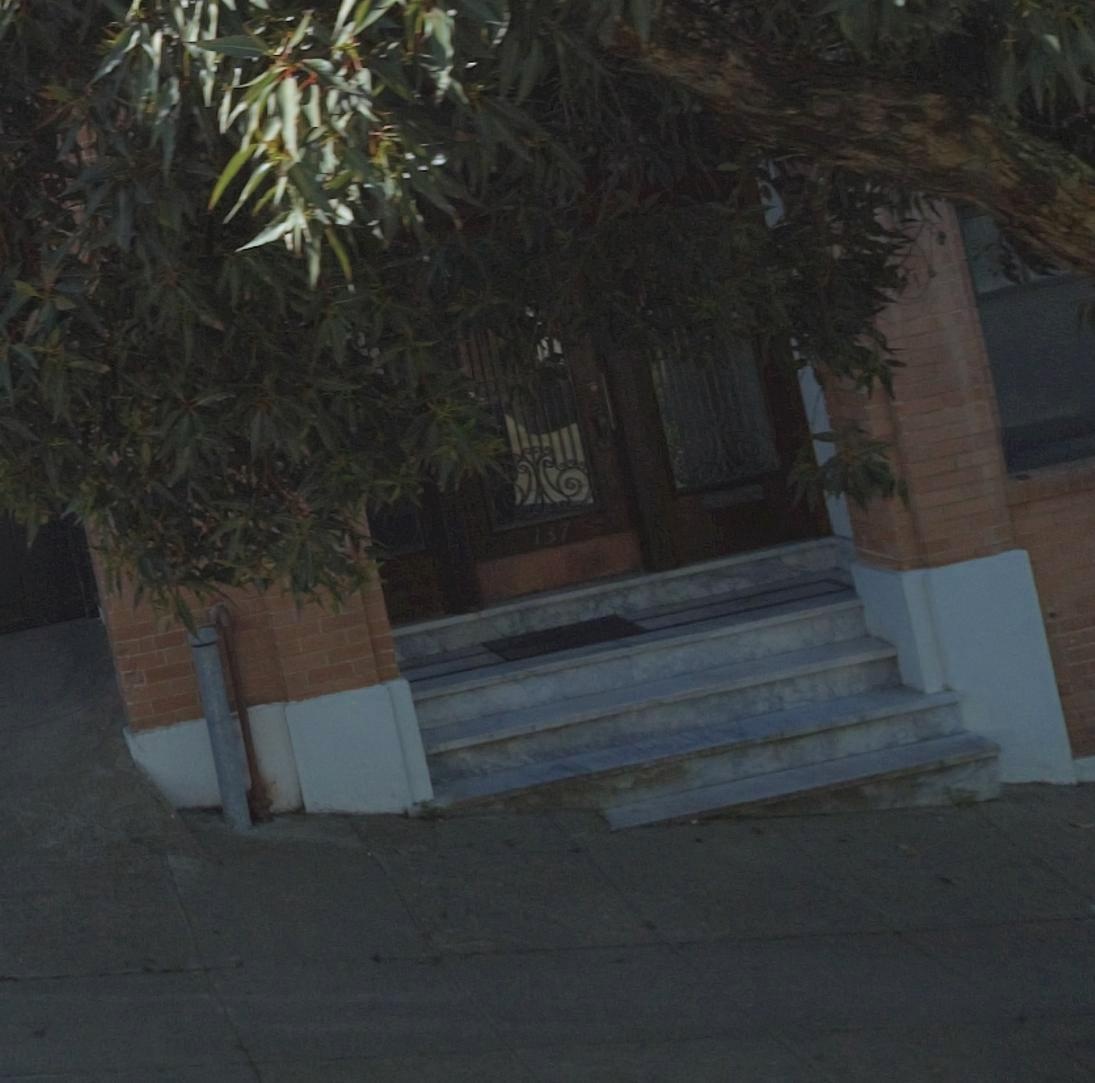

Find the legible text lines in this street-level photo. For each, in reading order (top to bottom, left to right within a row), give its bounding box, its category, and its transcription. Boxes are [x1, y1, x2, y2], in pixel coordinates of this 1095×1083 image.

[530, 520, 573, 548] StreetNumber: 137